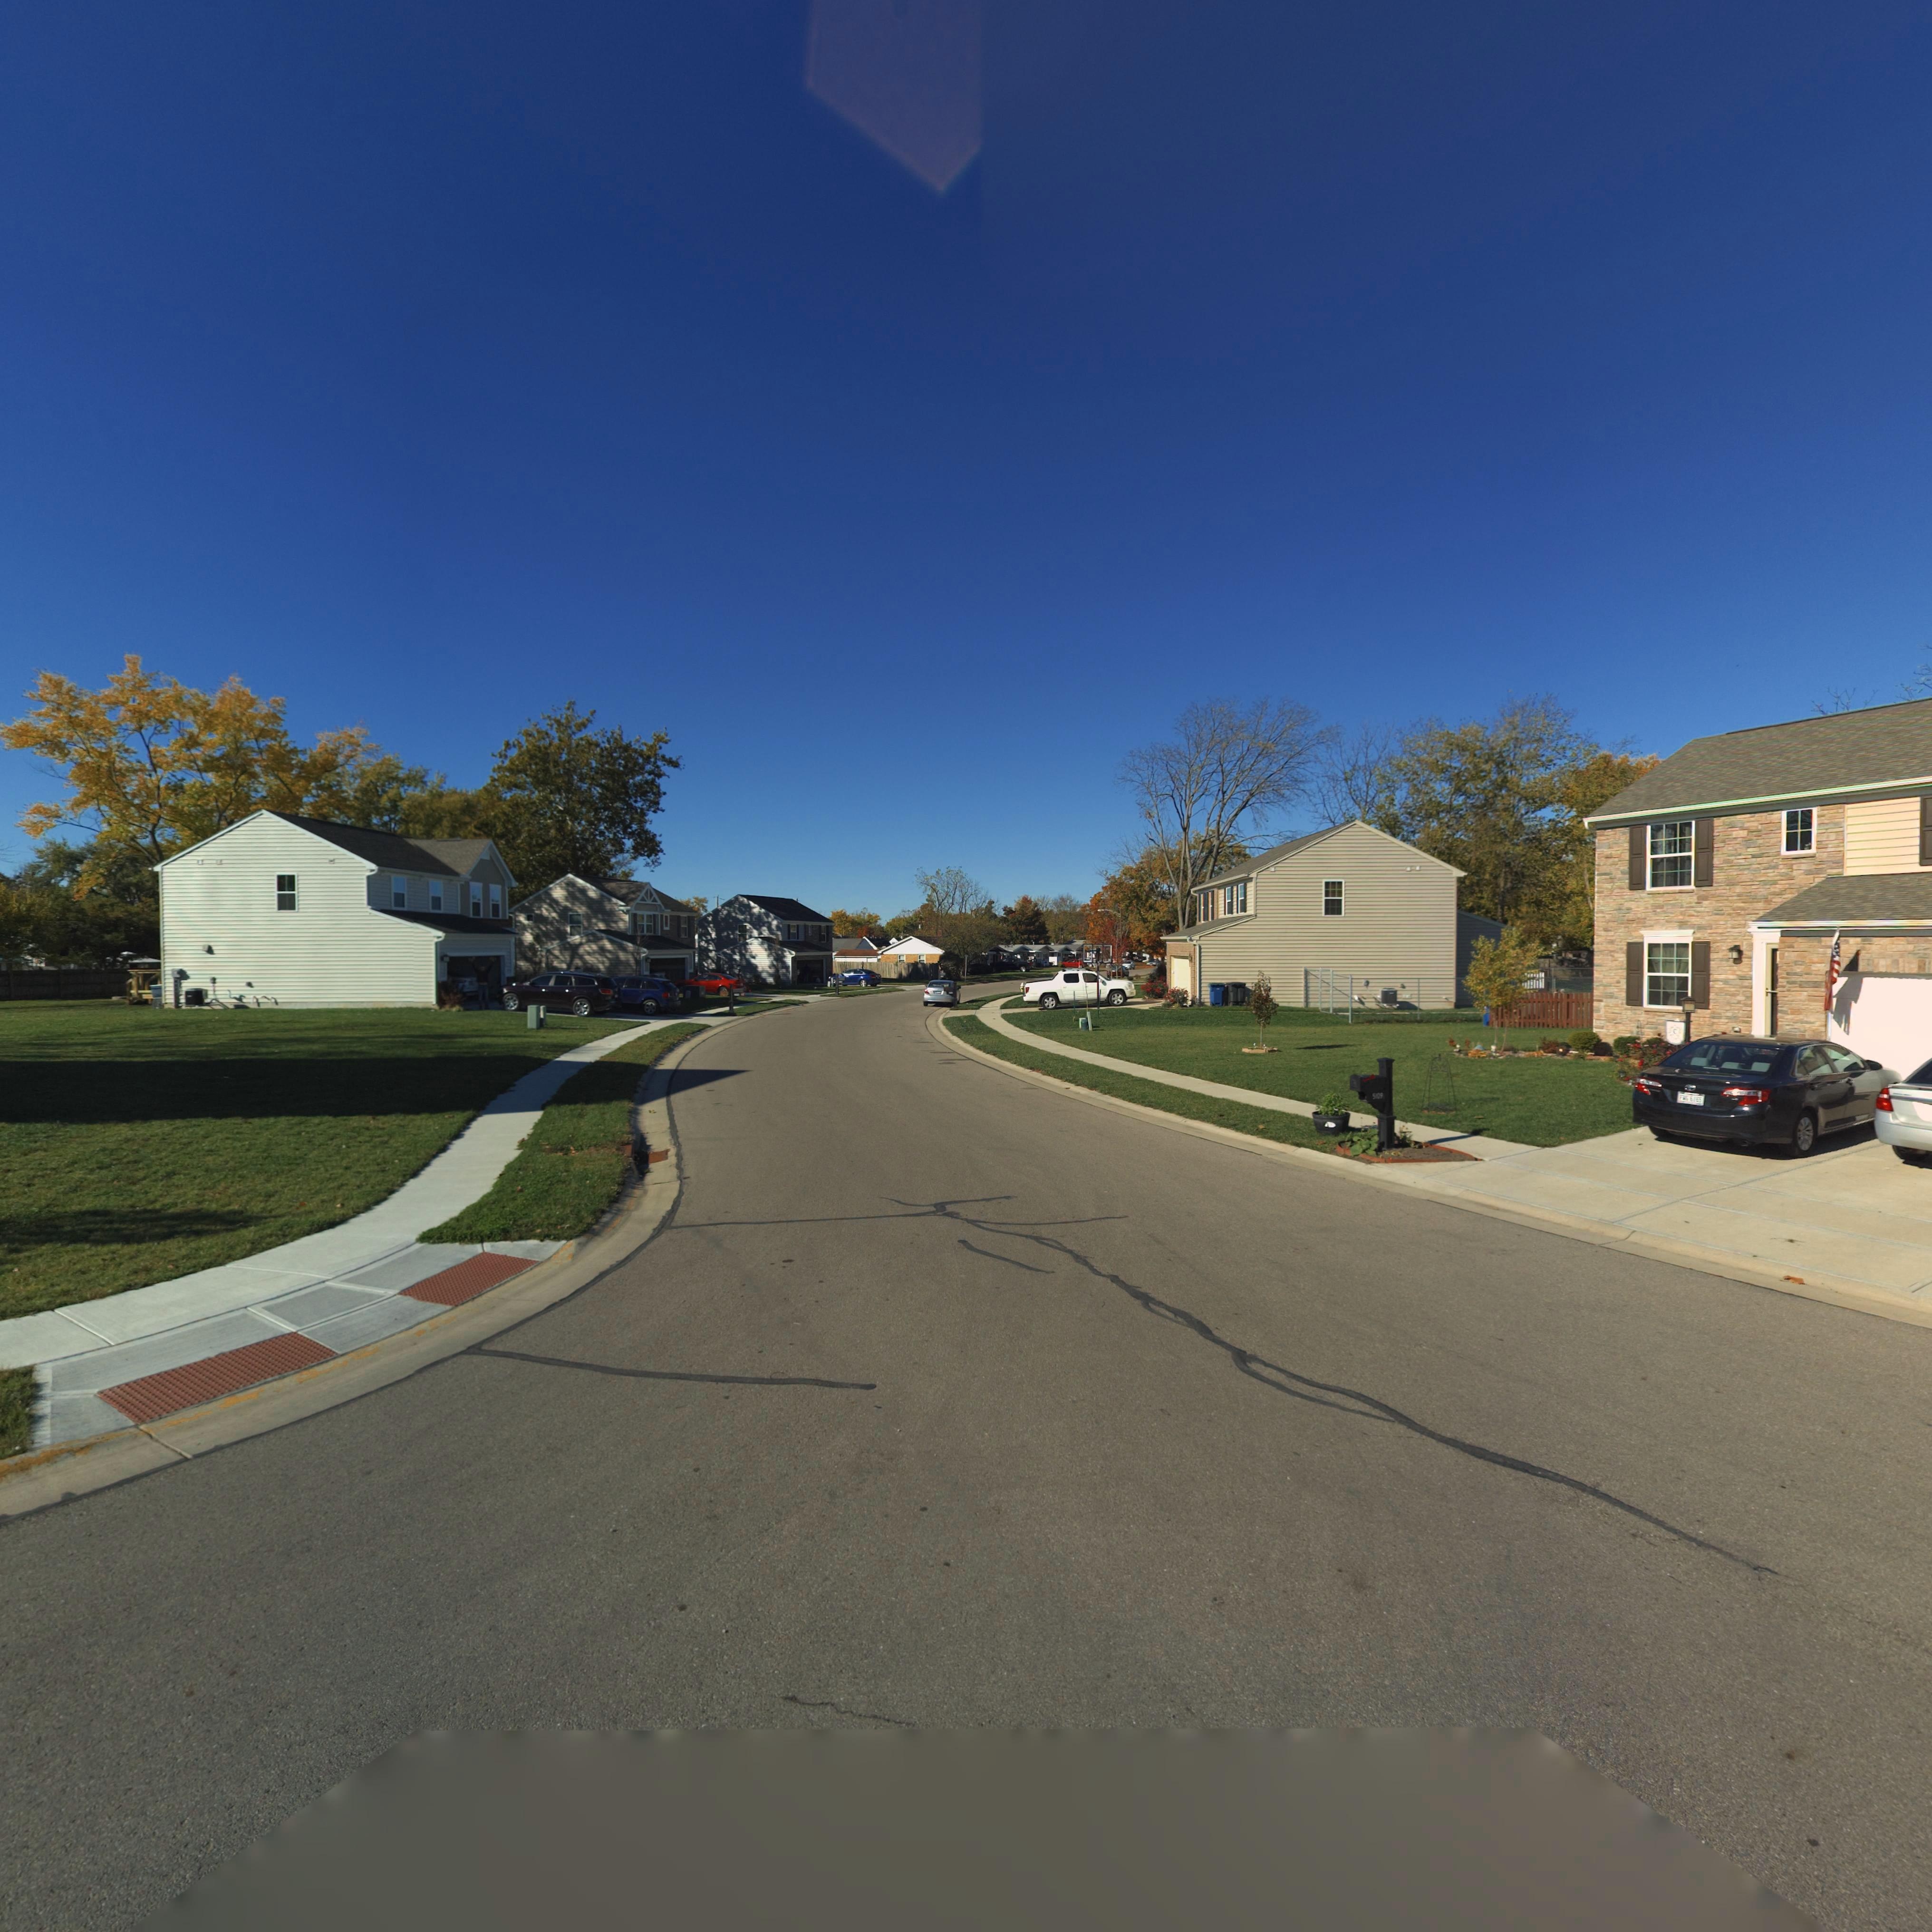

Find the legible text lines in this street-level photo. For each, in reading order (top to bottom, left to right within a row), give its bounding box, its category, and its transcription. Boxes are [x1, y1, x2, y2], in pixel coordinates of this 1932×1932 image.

[1372, 1092, 1384, 1100] StreetNumber: 5109